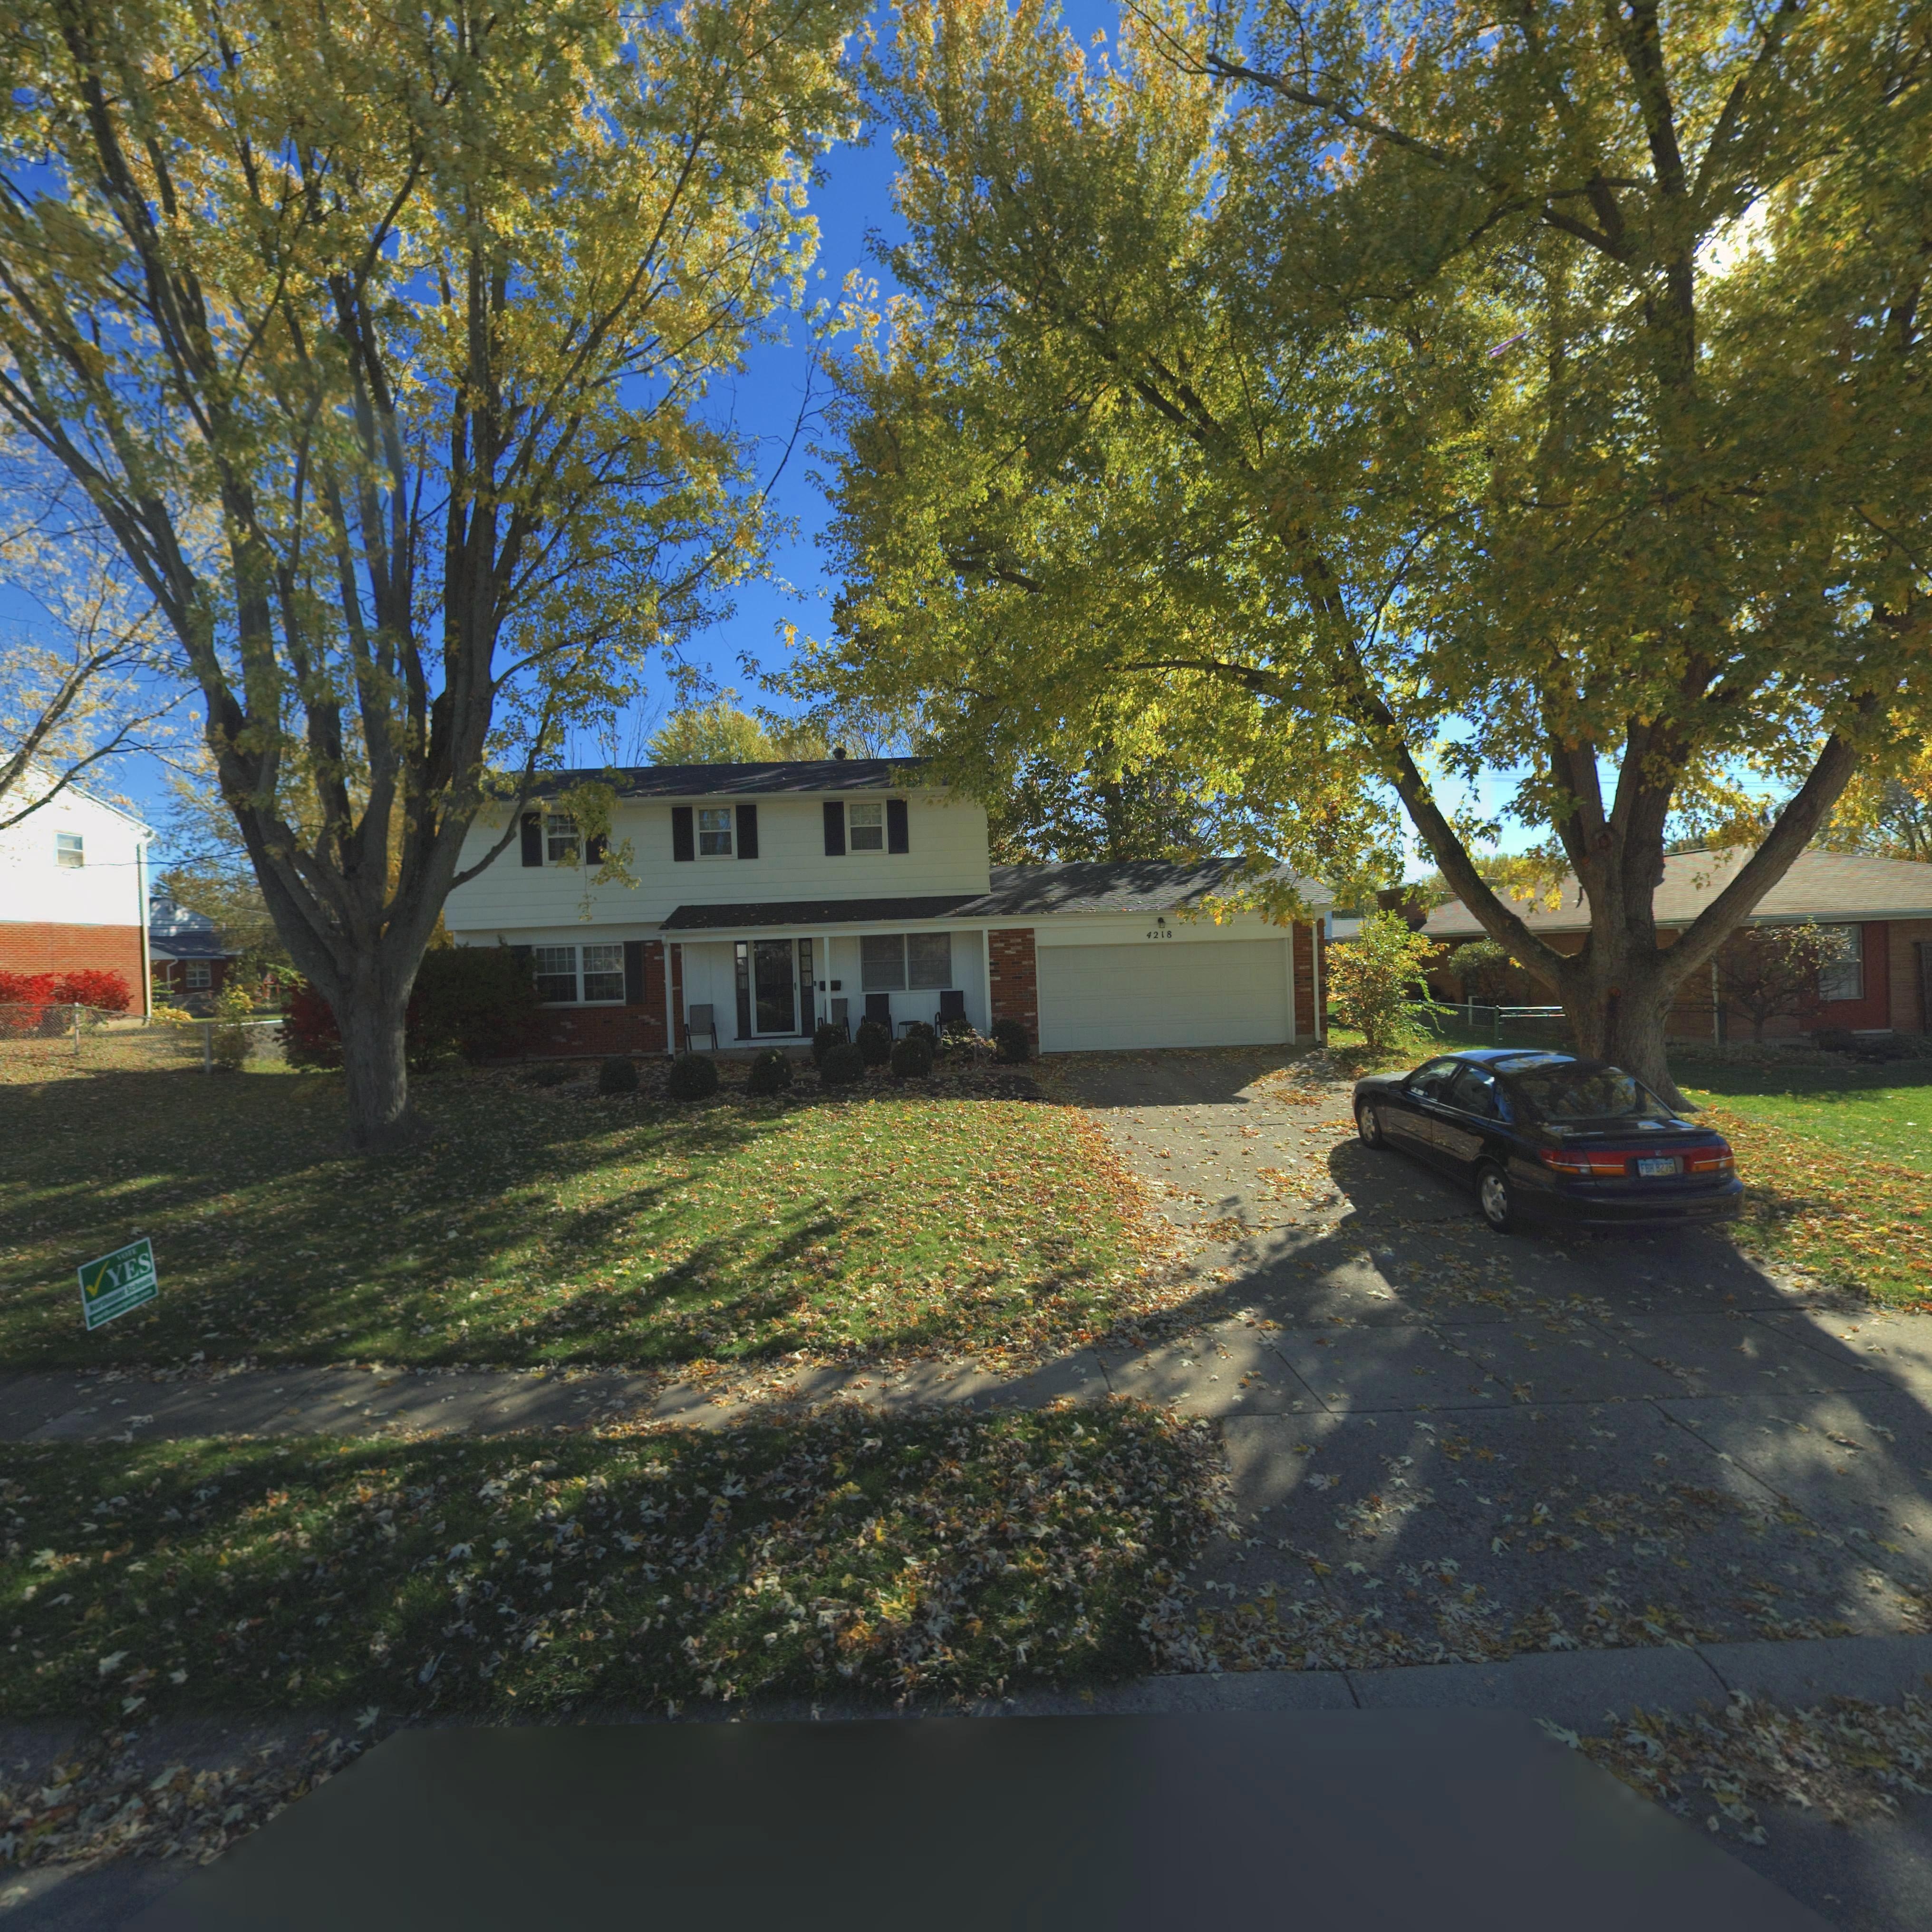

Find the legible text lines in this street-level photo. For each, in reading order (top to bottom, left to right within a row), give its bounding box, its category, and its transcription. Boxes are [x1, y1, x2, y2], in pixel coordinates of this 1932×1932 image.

[1145, 929, 1173, 940] StreetNumber: 4218
[1640, 1162, 1675, 1174] None: FBH*8275
[115, 1246, 139, 1262] None: VOTE
[104, 1250, 153, 1289] None: YES
[126, 1274, 153, 1295] None: Schools